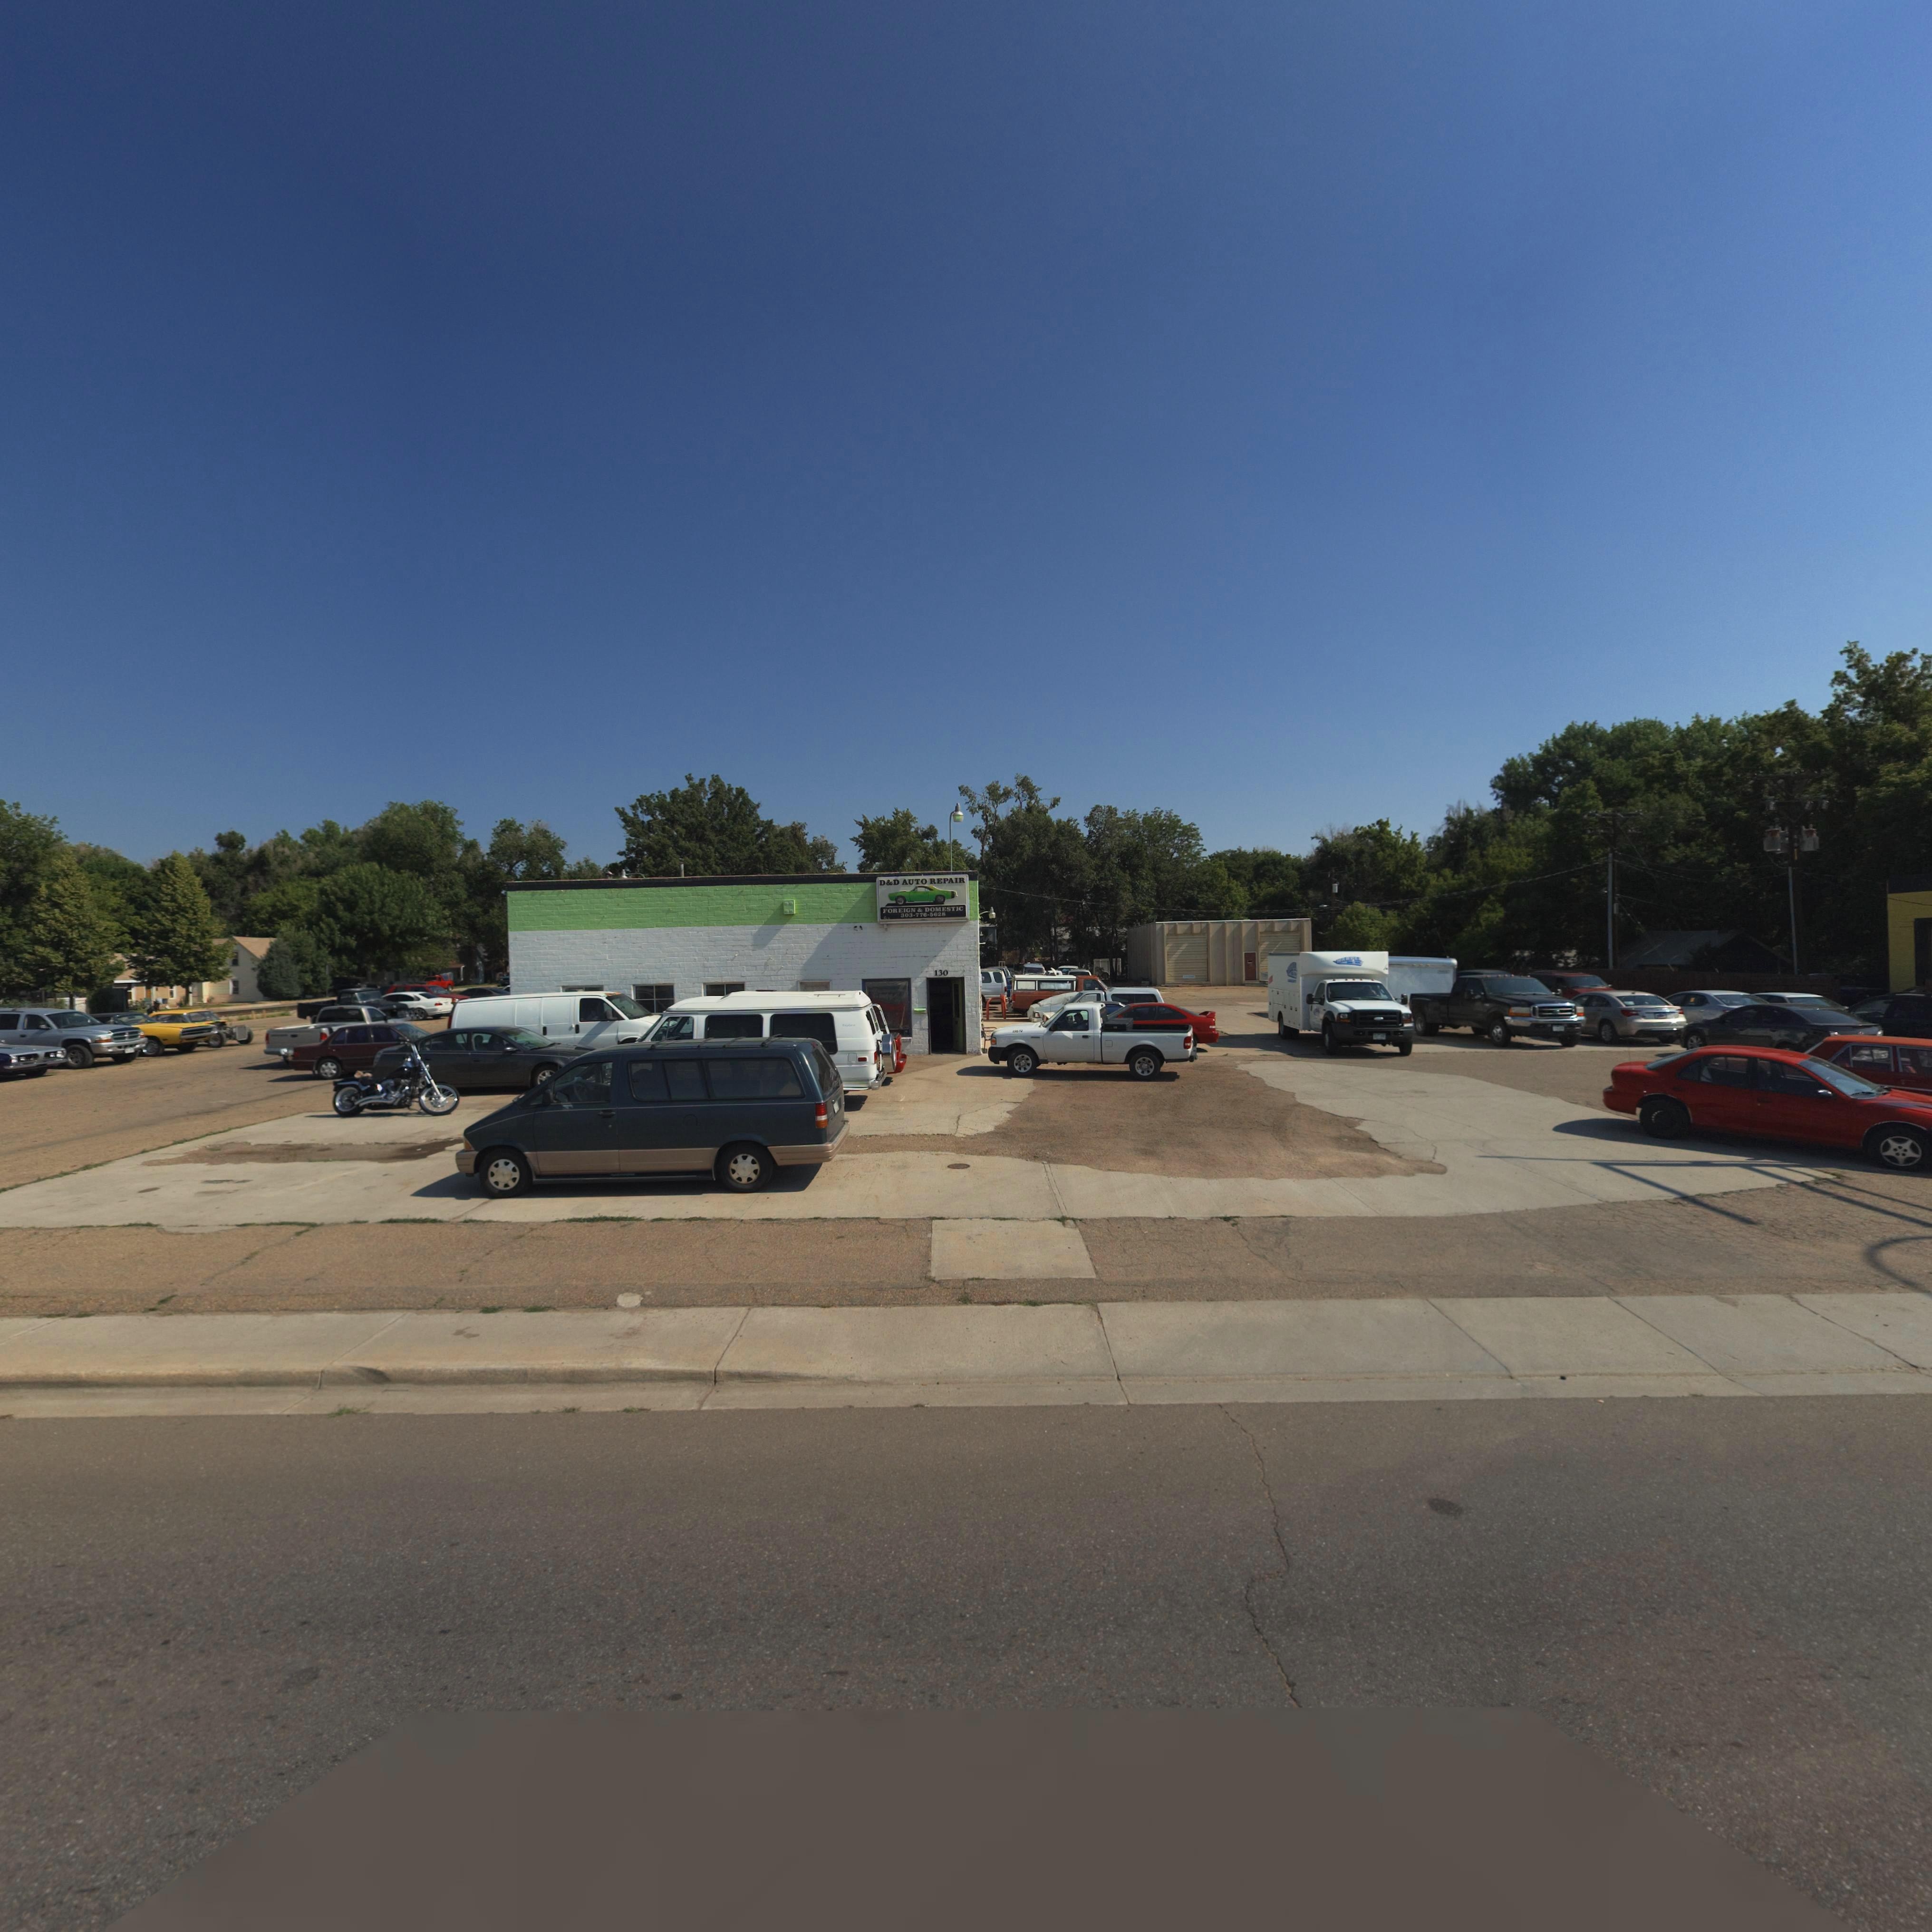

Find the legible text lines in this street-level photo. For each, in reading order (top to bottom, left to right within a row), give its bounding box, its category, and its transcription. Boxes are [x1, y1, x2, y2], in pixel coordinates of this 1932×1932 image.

[879, 877, 965, 886] BusinessName: D*D AUTO REPAIR
[934, 969, 948, 976] StreetNumber: 130